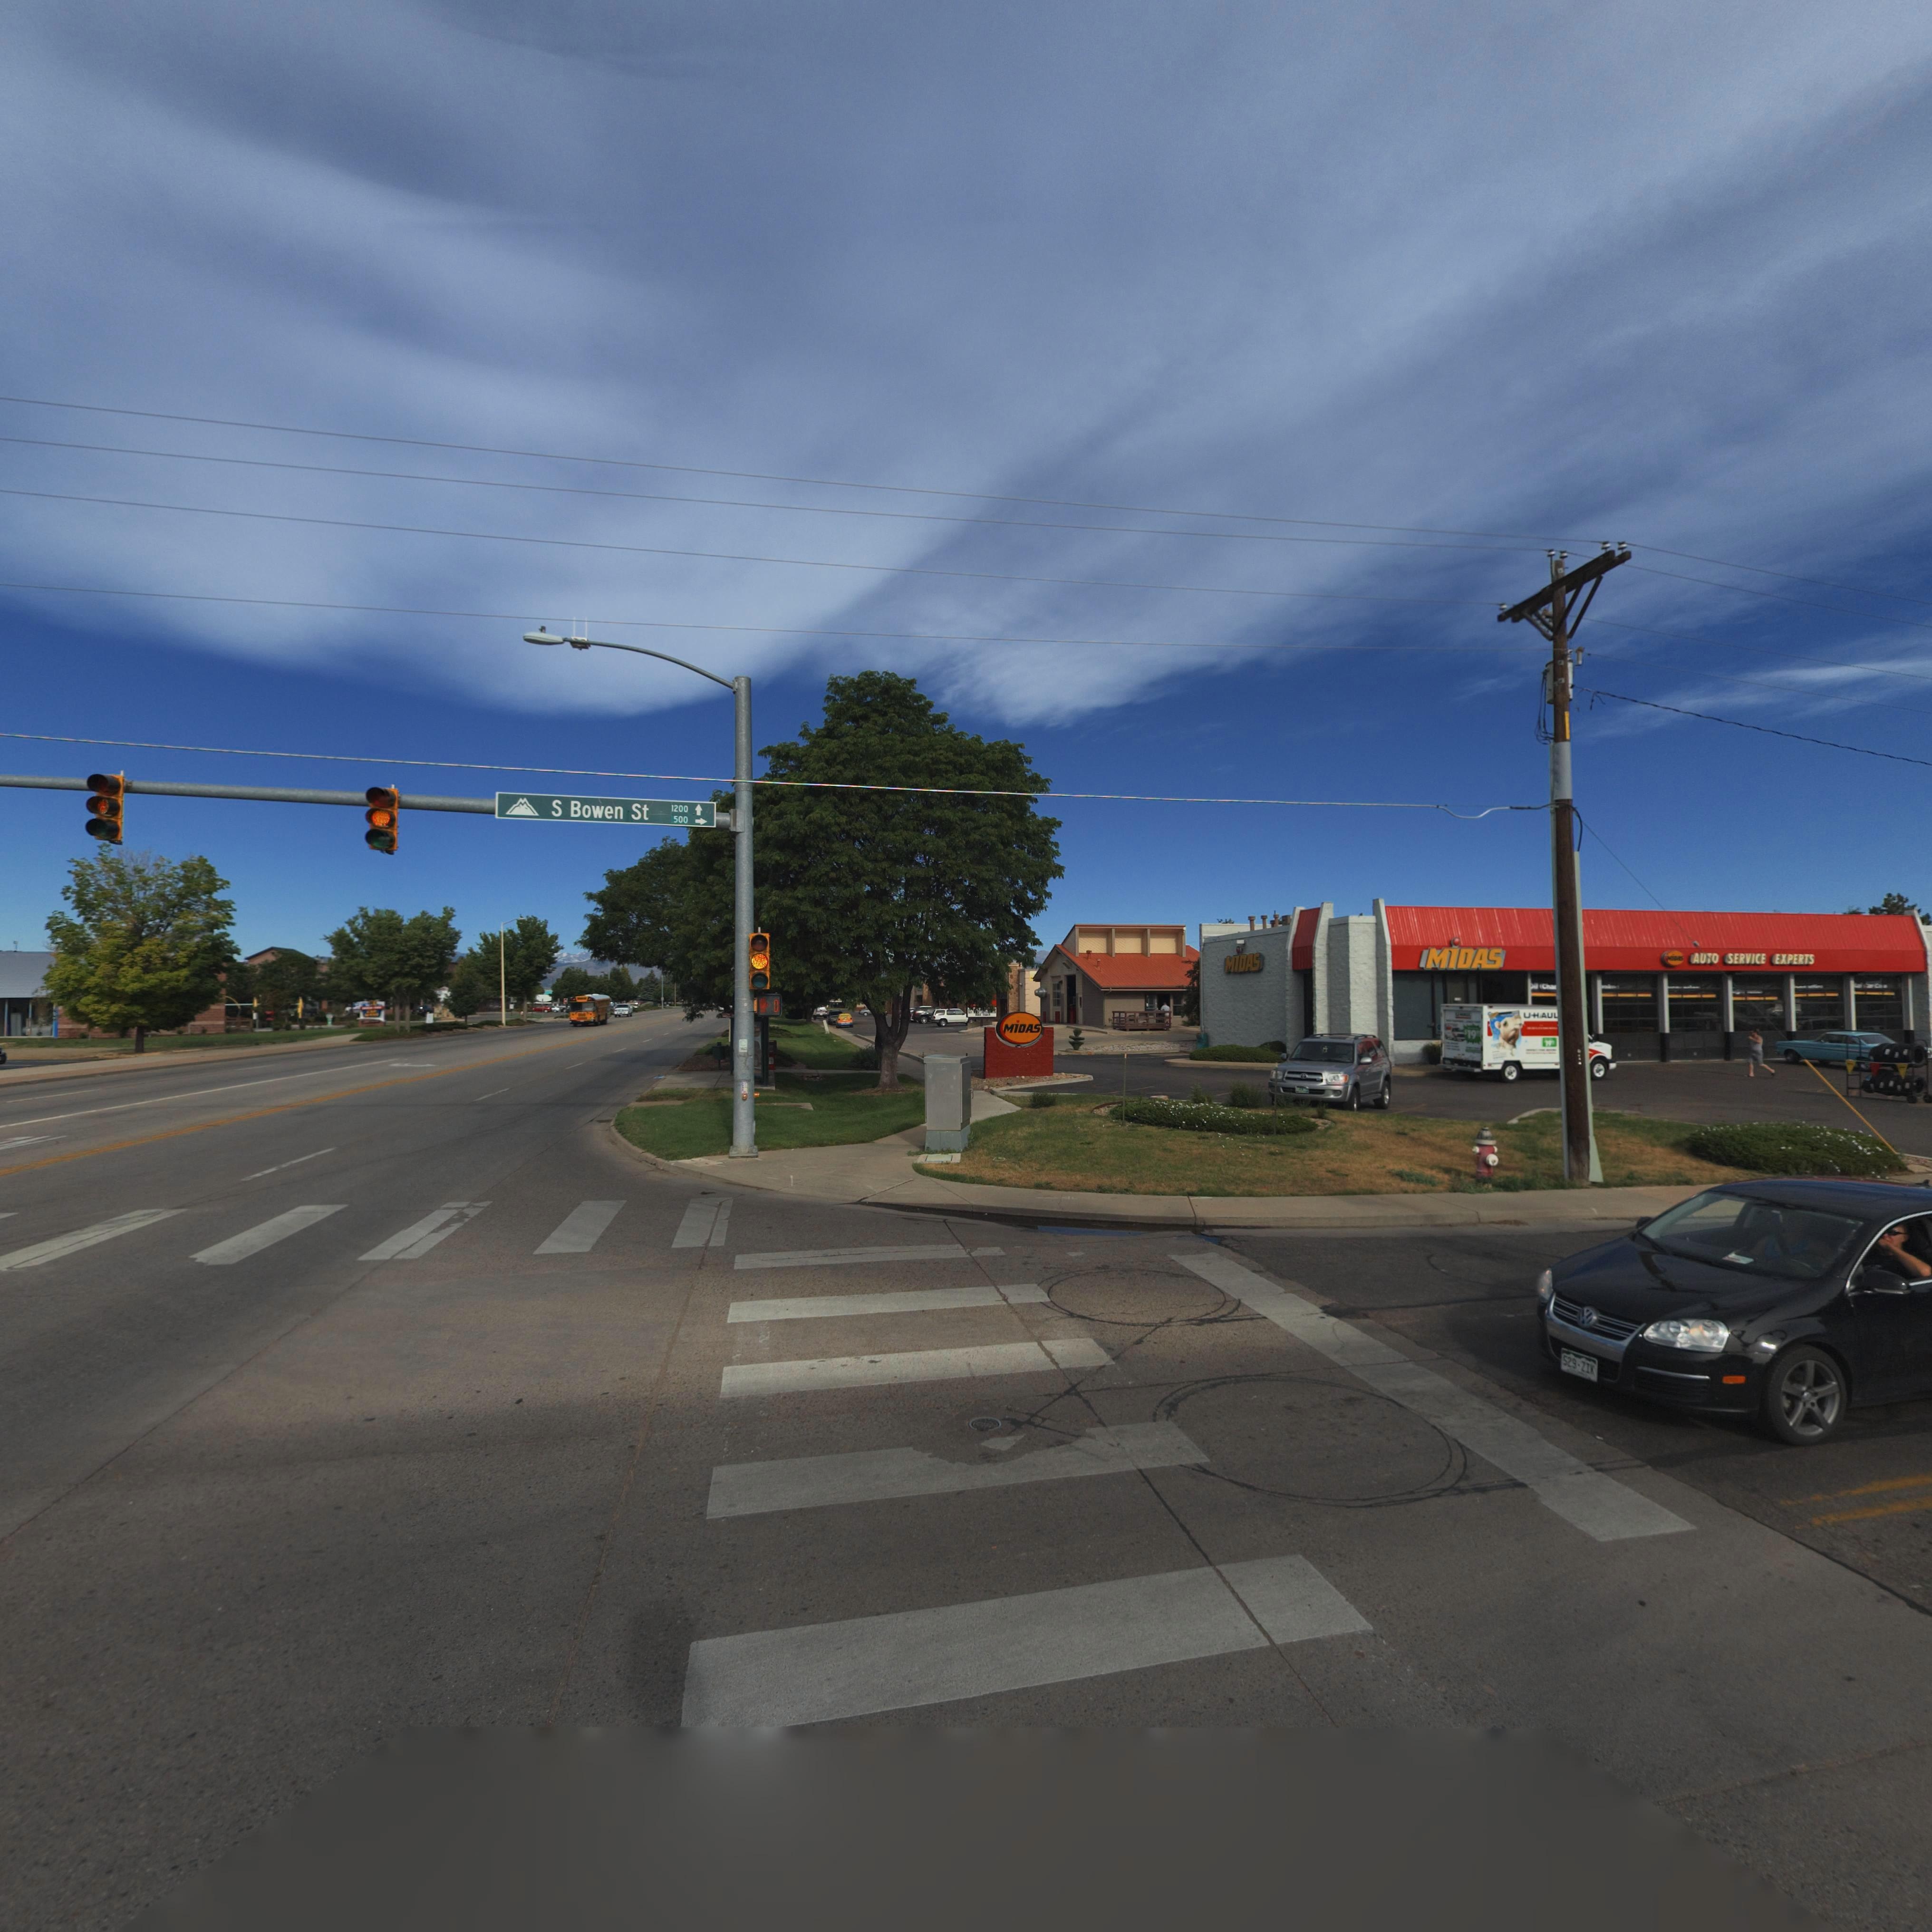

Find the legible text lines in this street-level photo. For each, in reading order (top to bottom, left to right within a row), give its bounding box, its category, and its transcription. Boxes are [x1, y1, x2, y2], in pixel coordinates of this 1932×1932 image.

[550, 798, 650, 821] StreetName: S Bowen St
[671, 804, 688, 813] StreetNumberRange: 1200
[673, 815, 708, 825] StreetNumberRange: 500->
[1224, 946, 1261, 973] BusinessName: MiDAS
[1424, 937, 1503, 969] BusinessName: MiDAS
[1666, 953, 1684, 961] BusinessName: M***S
[1003, 1019, 1041, 1033] BusinessName: MiDAS